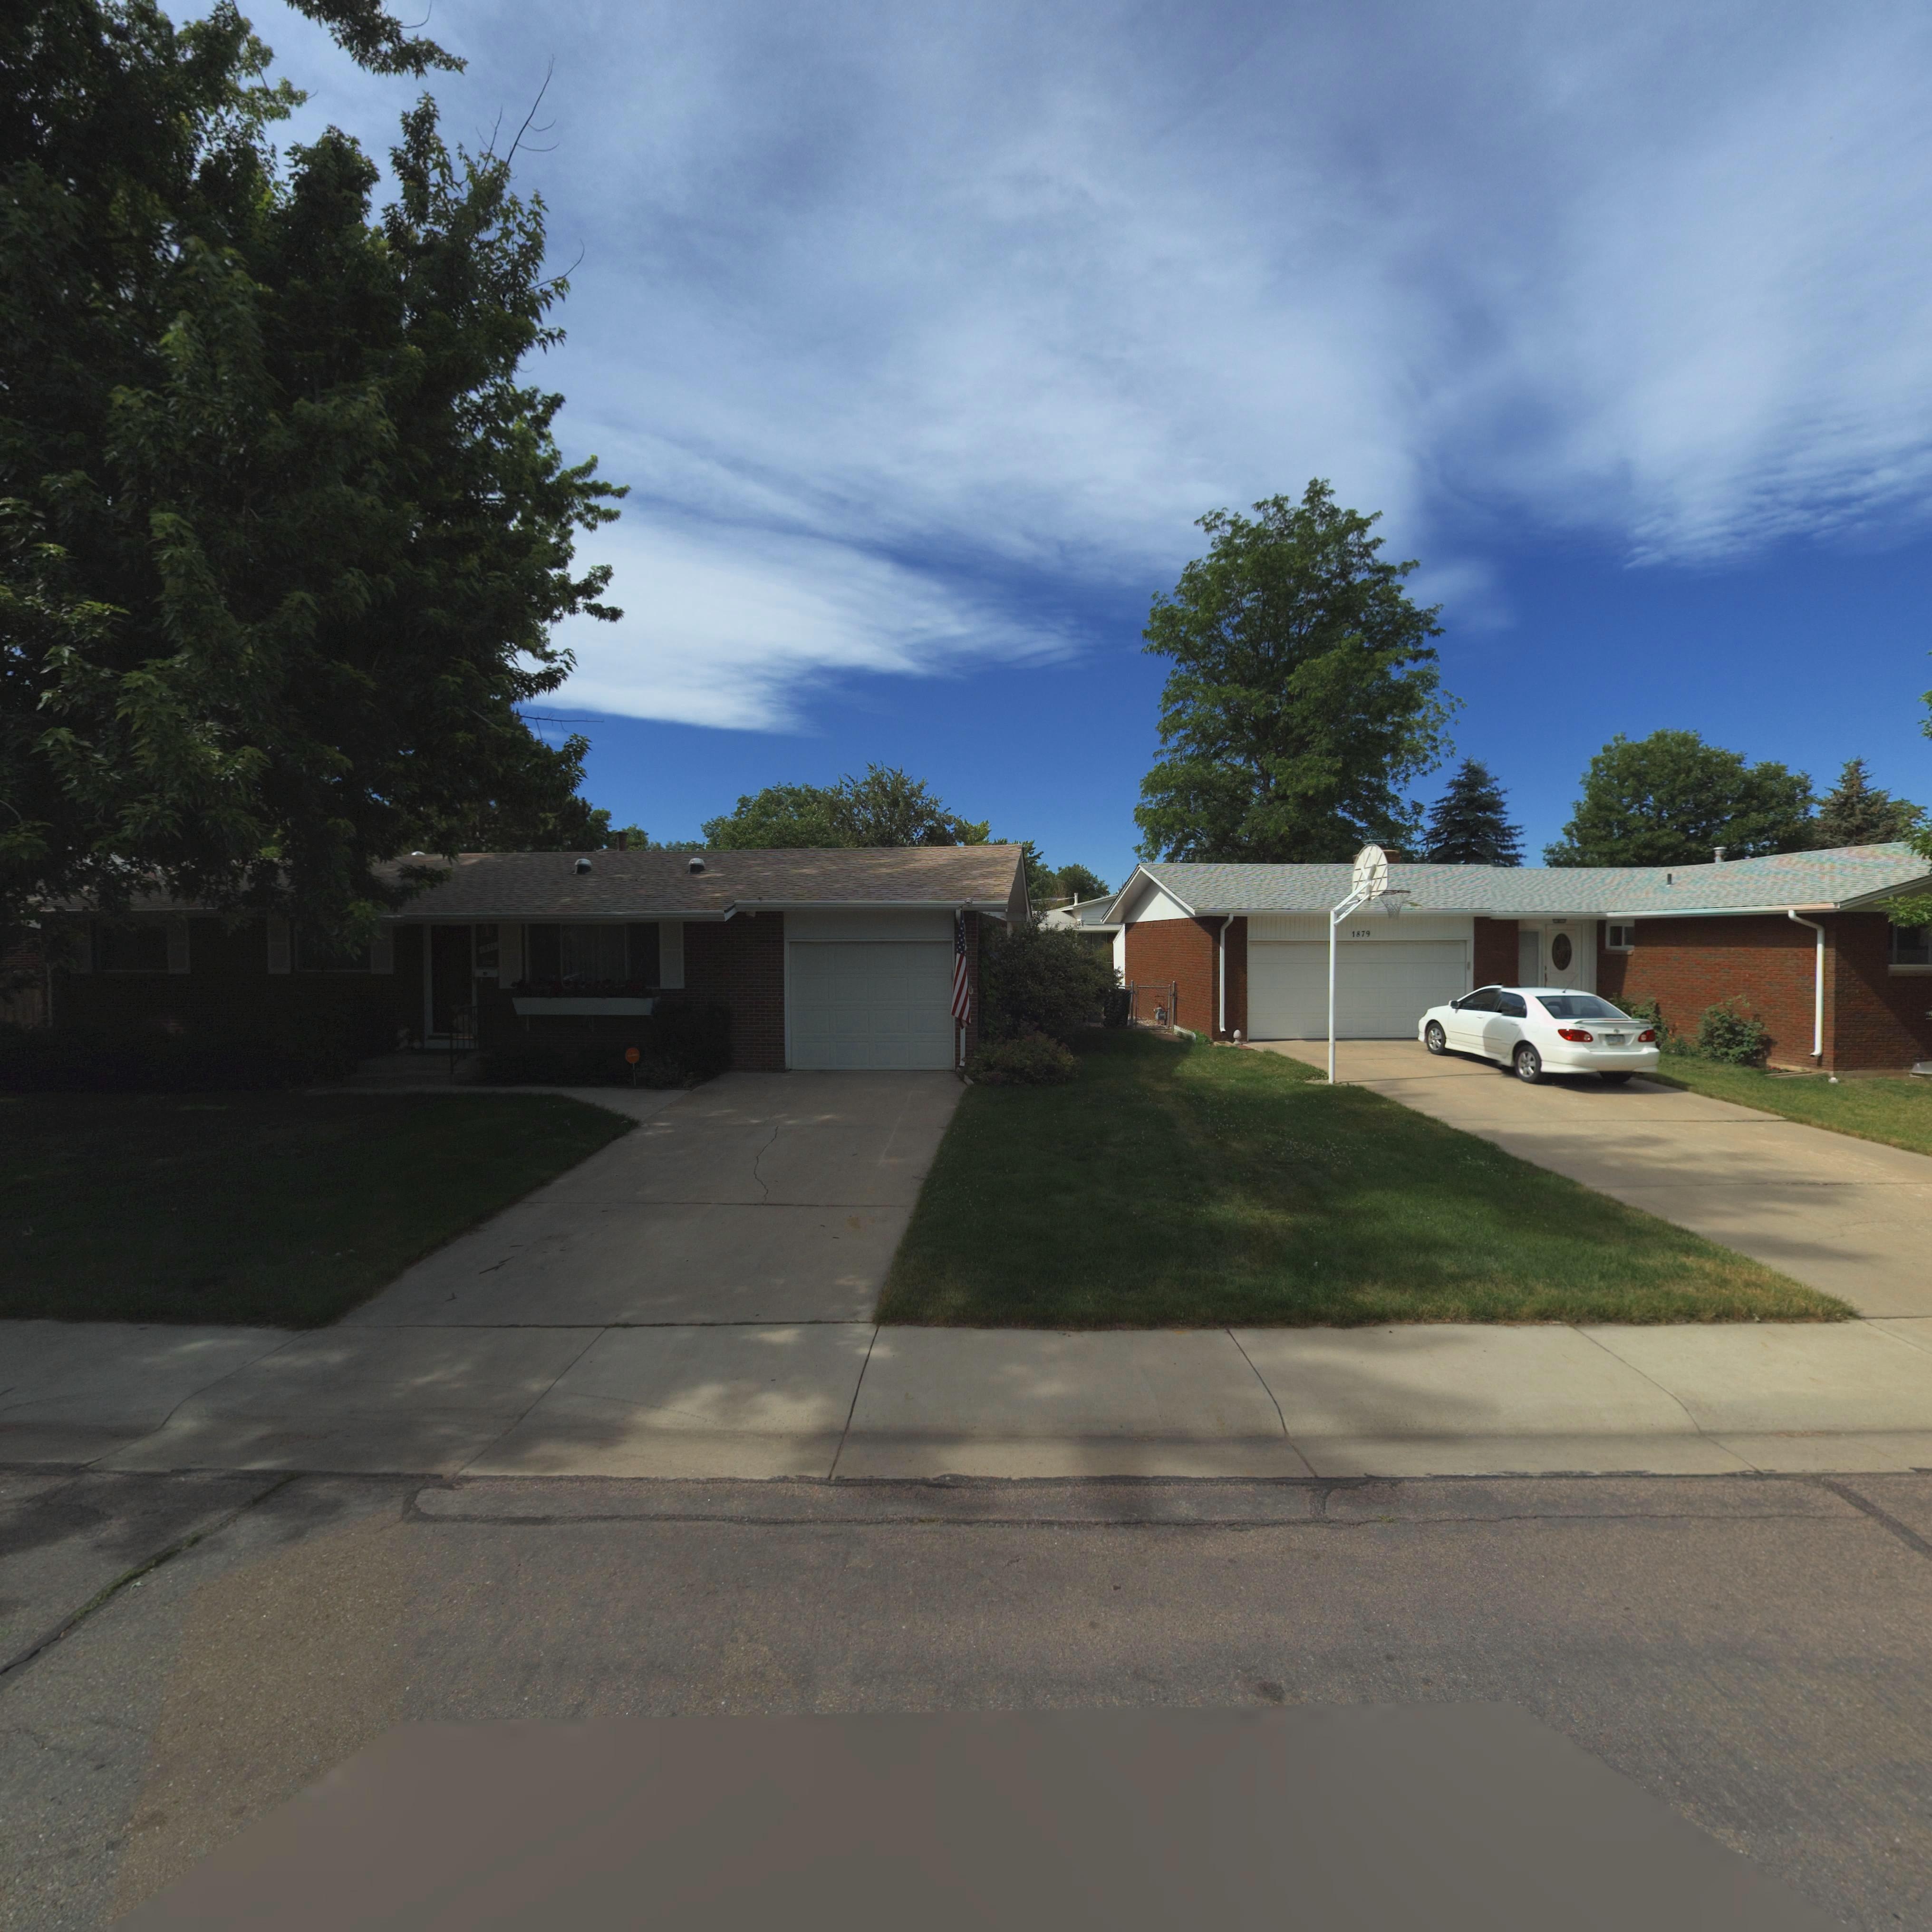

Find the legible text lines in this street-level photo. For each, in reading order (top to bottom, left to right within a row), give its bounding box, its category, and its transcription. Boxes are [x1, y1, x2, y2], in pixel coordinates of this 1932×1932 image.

[1352, 930, 1370, 937] StreetNumber: 1879
[480, 942, 494, 953] StreetNumber: 1**1